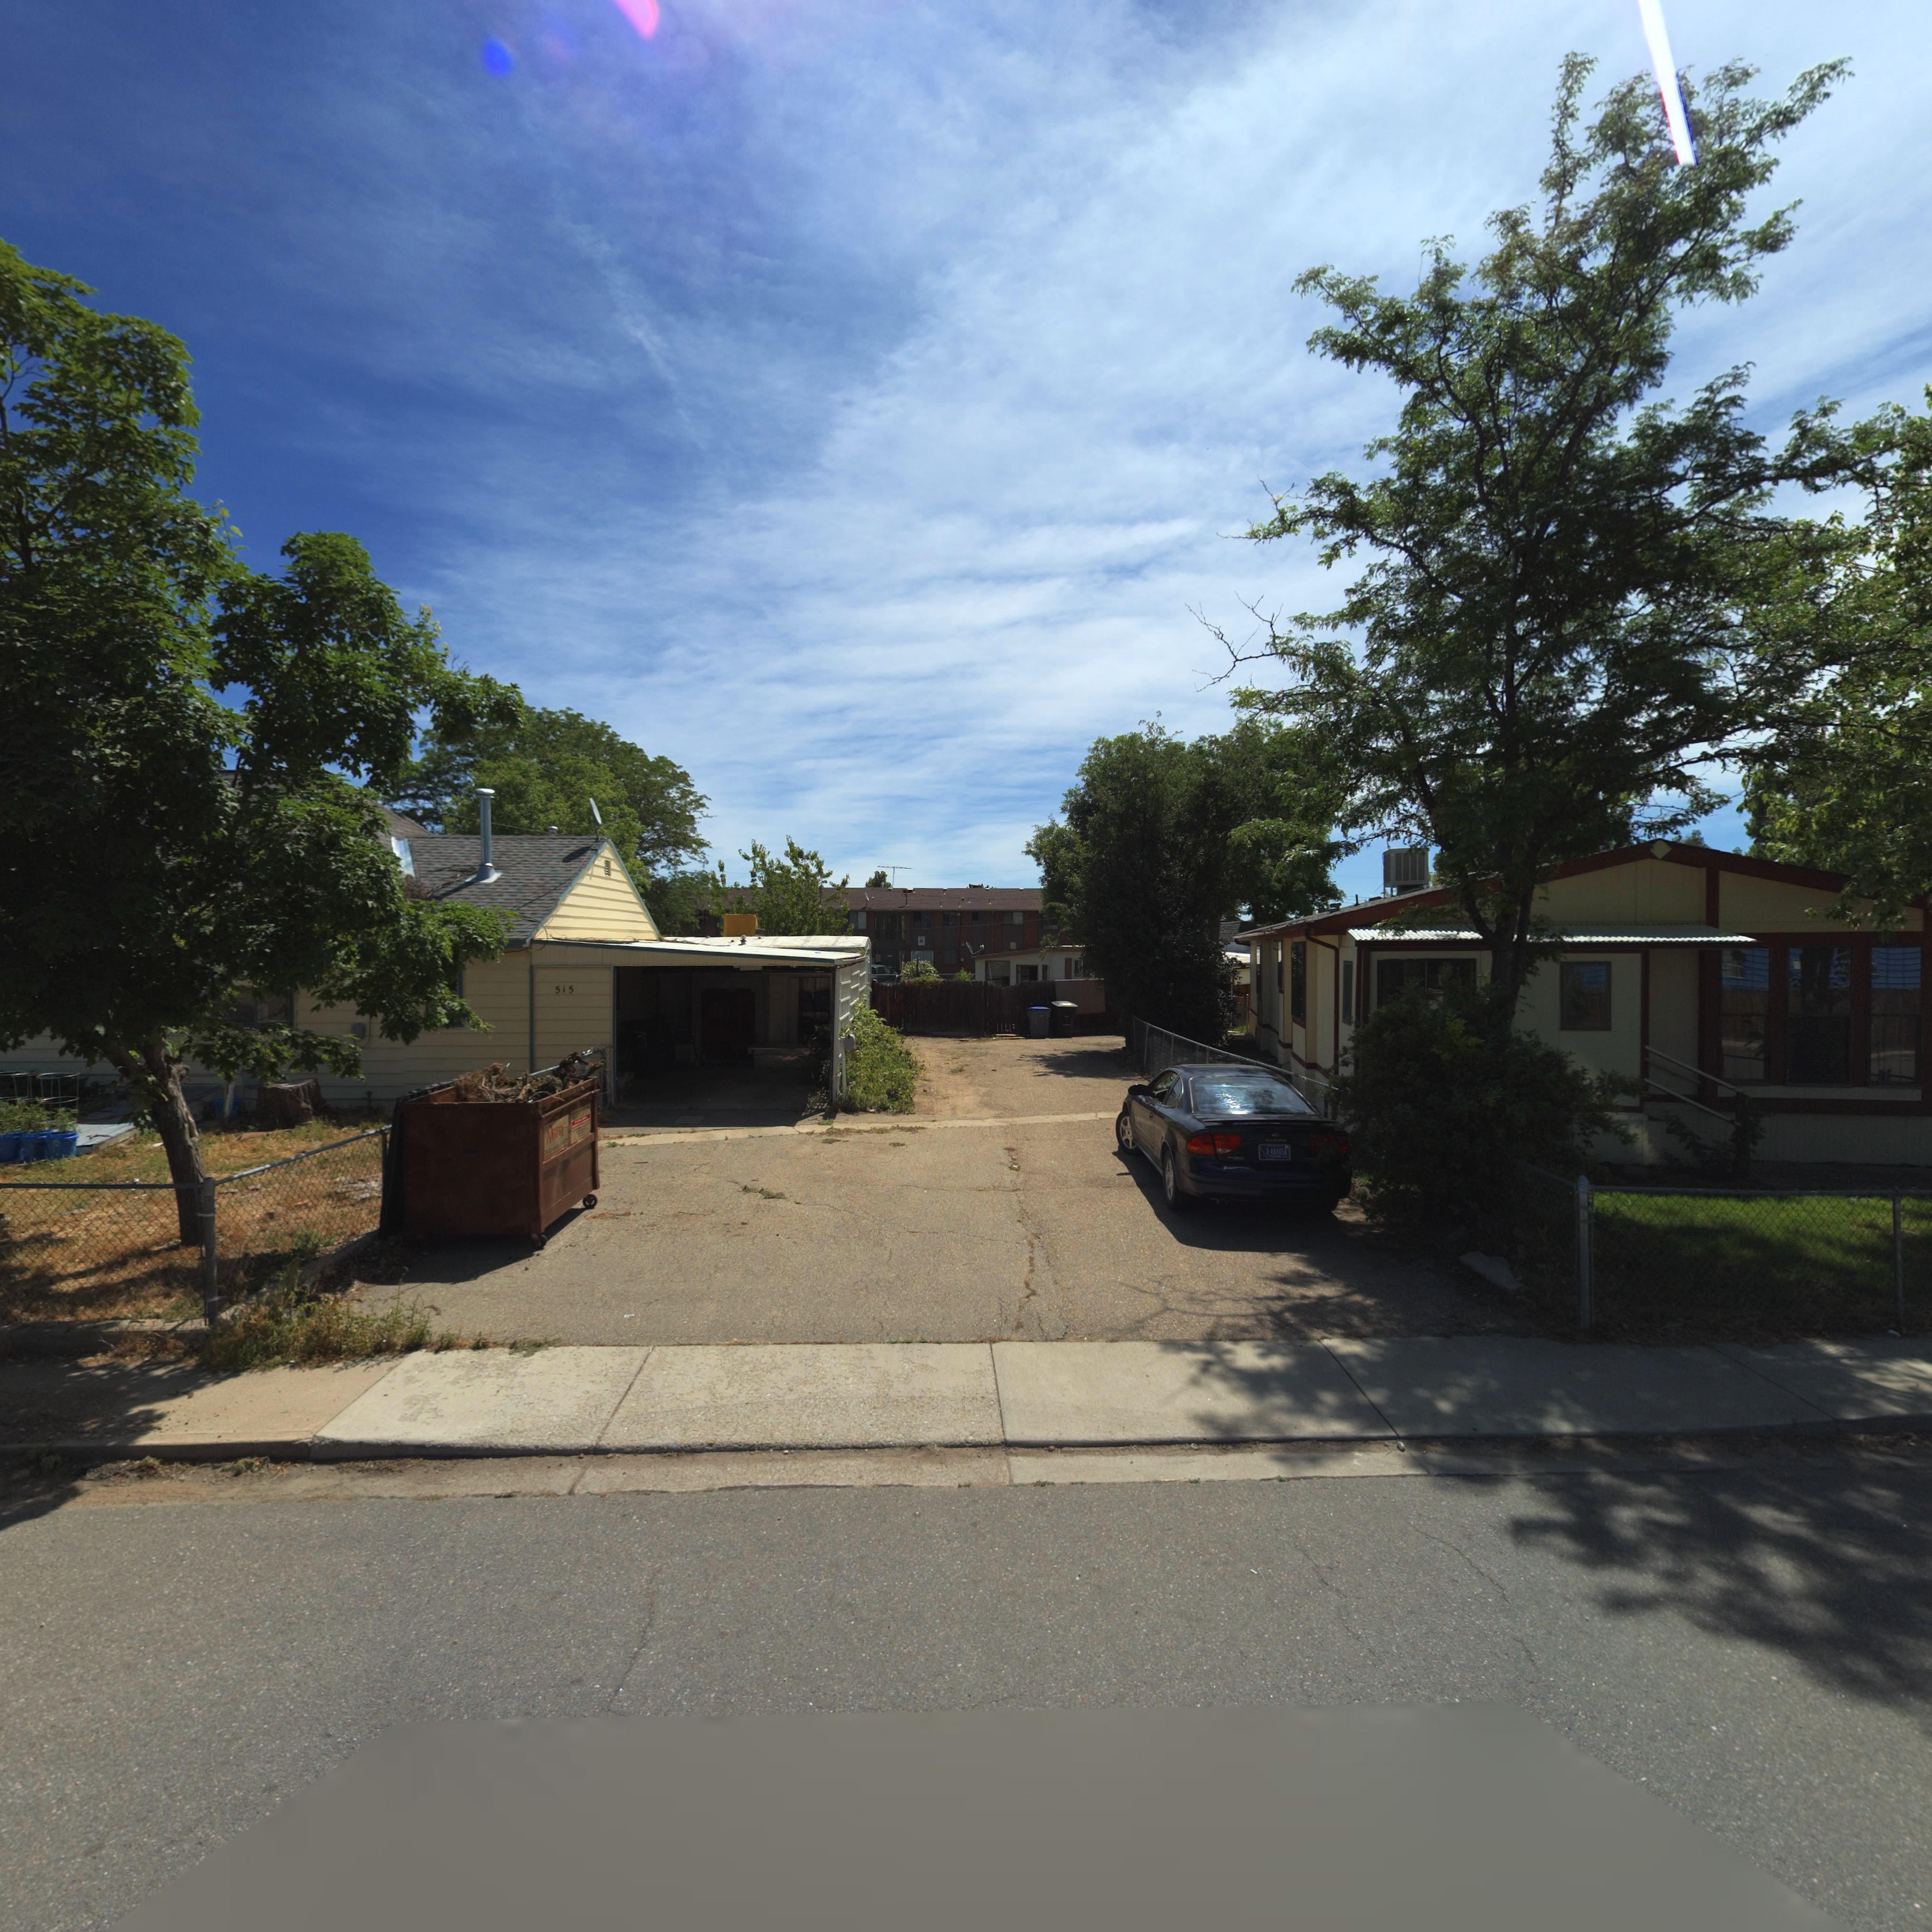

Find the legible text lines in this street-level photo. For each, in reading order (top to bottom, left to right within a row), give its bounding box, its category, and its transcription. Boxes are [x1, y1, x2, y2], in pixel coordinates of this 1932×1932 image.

[554, 985, 575, 994] StreetNumber: 515